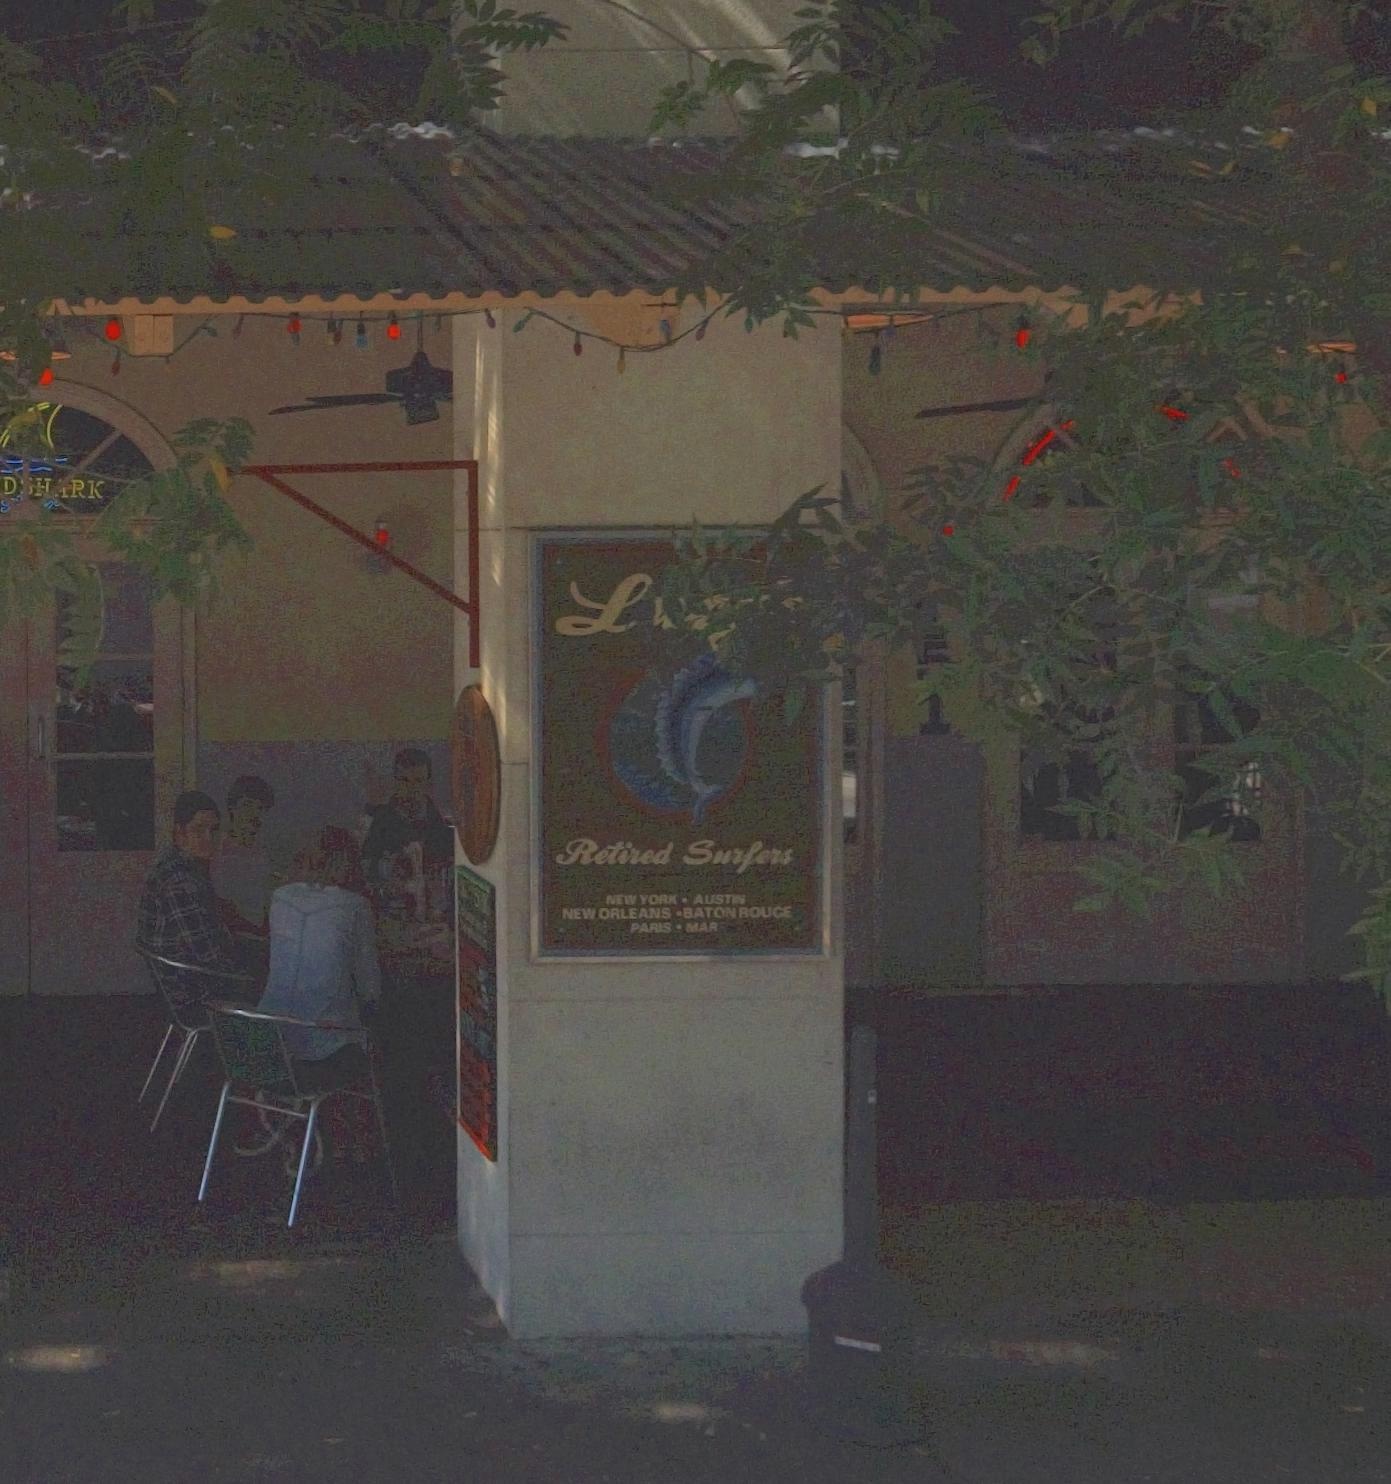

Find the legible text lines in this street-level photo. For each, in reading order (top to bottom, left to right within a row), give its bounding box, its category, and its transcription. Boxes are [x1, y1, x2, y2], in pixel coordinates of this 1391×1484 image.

[68, 477, 108, 501] None: RK
[545, 567, 662, 640] BusinessName: L
[553, 837, 797, 880] BusinessName: Retired Surfers
[603, 890, 749, 908] None: NEW YORK*AUSTIN
[559, 903, 795, 923] None: NEW ORLEANS*BATON ROUGE
[627, 917, 721, 938] None: PARIS*MAR